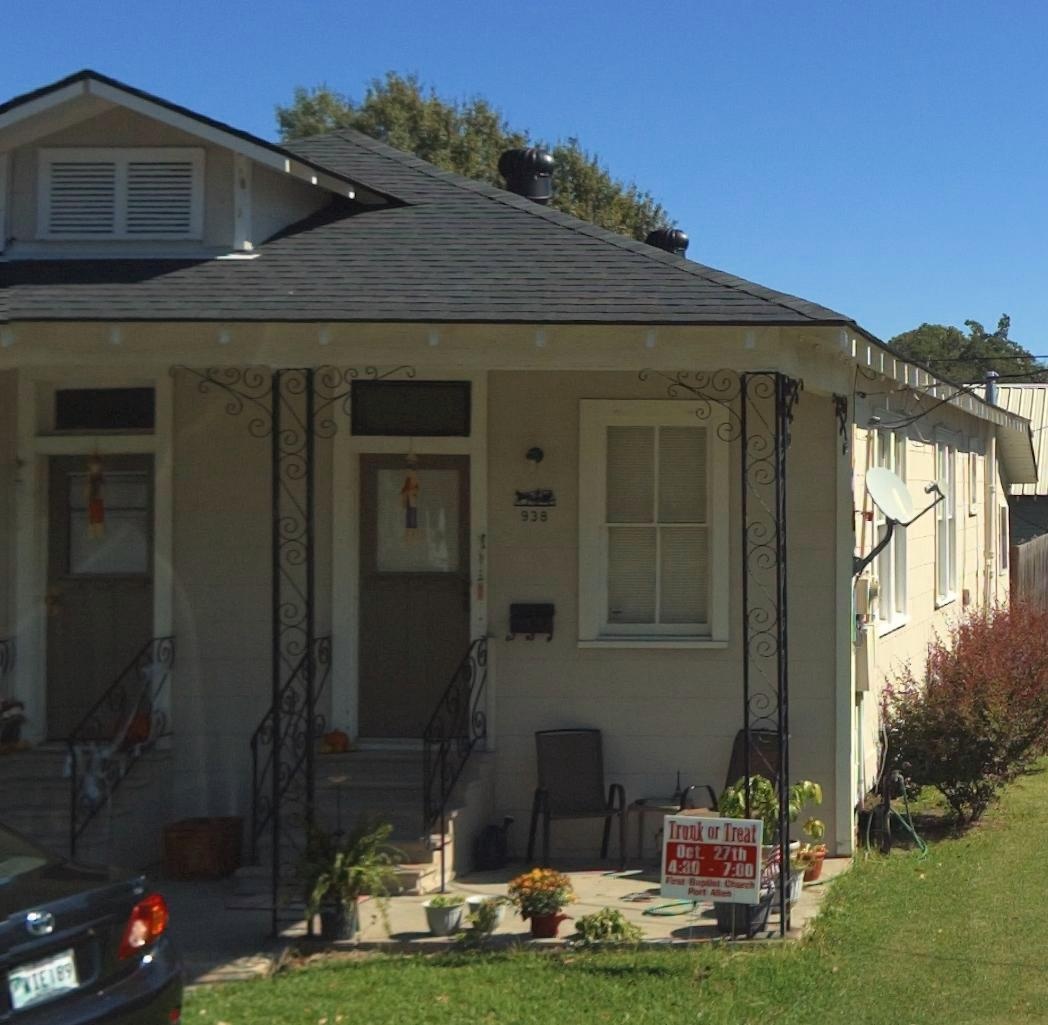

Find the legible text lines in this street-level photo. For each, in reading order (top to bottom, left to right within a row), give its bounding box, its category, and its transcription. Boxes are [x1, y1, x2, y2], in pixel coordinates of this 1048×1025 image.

[520, 509, 549, 523] StreetNumber: 938
[667, 818, 758, 845] None: Trunk or Treat
[675, 843, 748, 862] None: Oct. 27th
[666, 856, 755, 879] None: 4:30 - 7:00
[29, 959, 75, 995] None: IE189